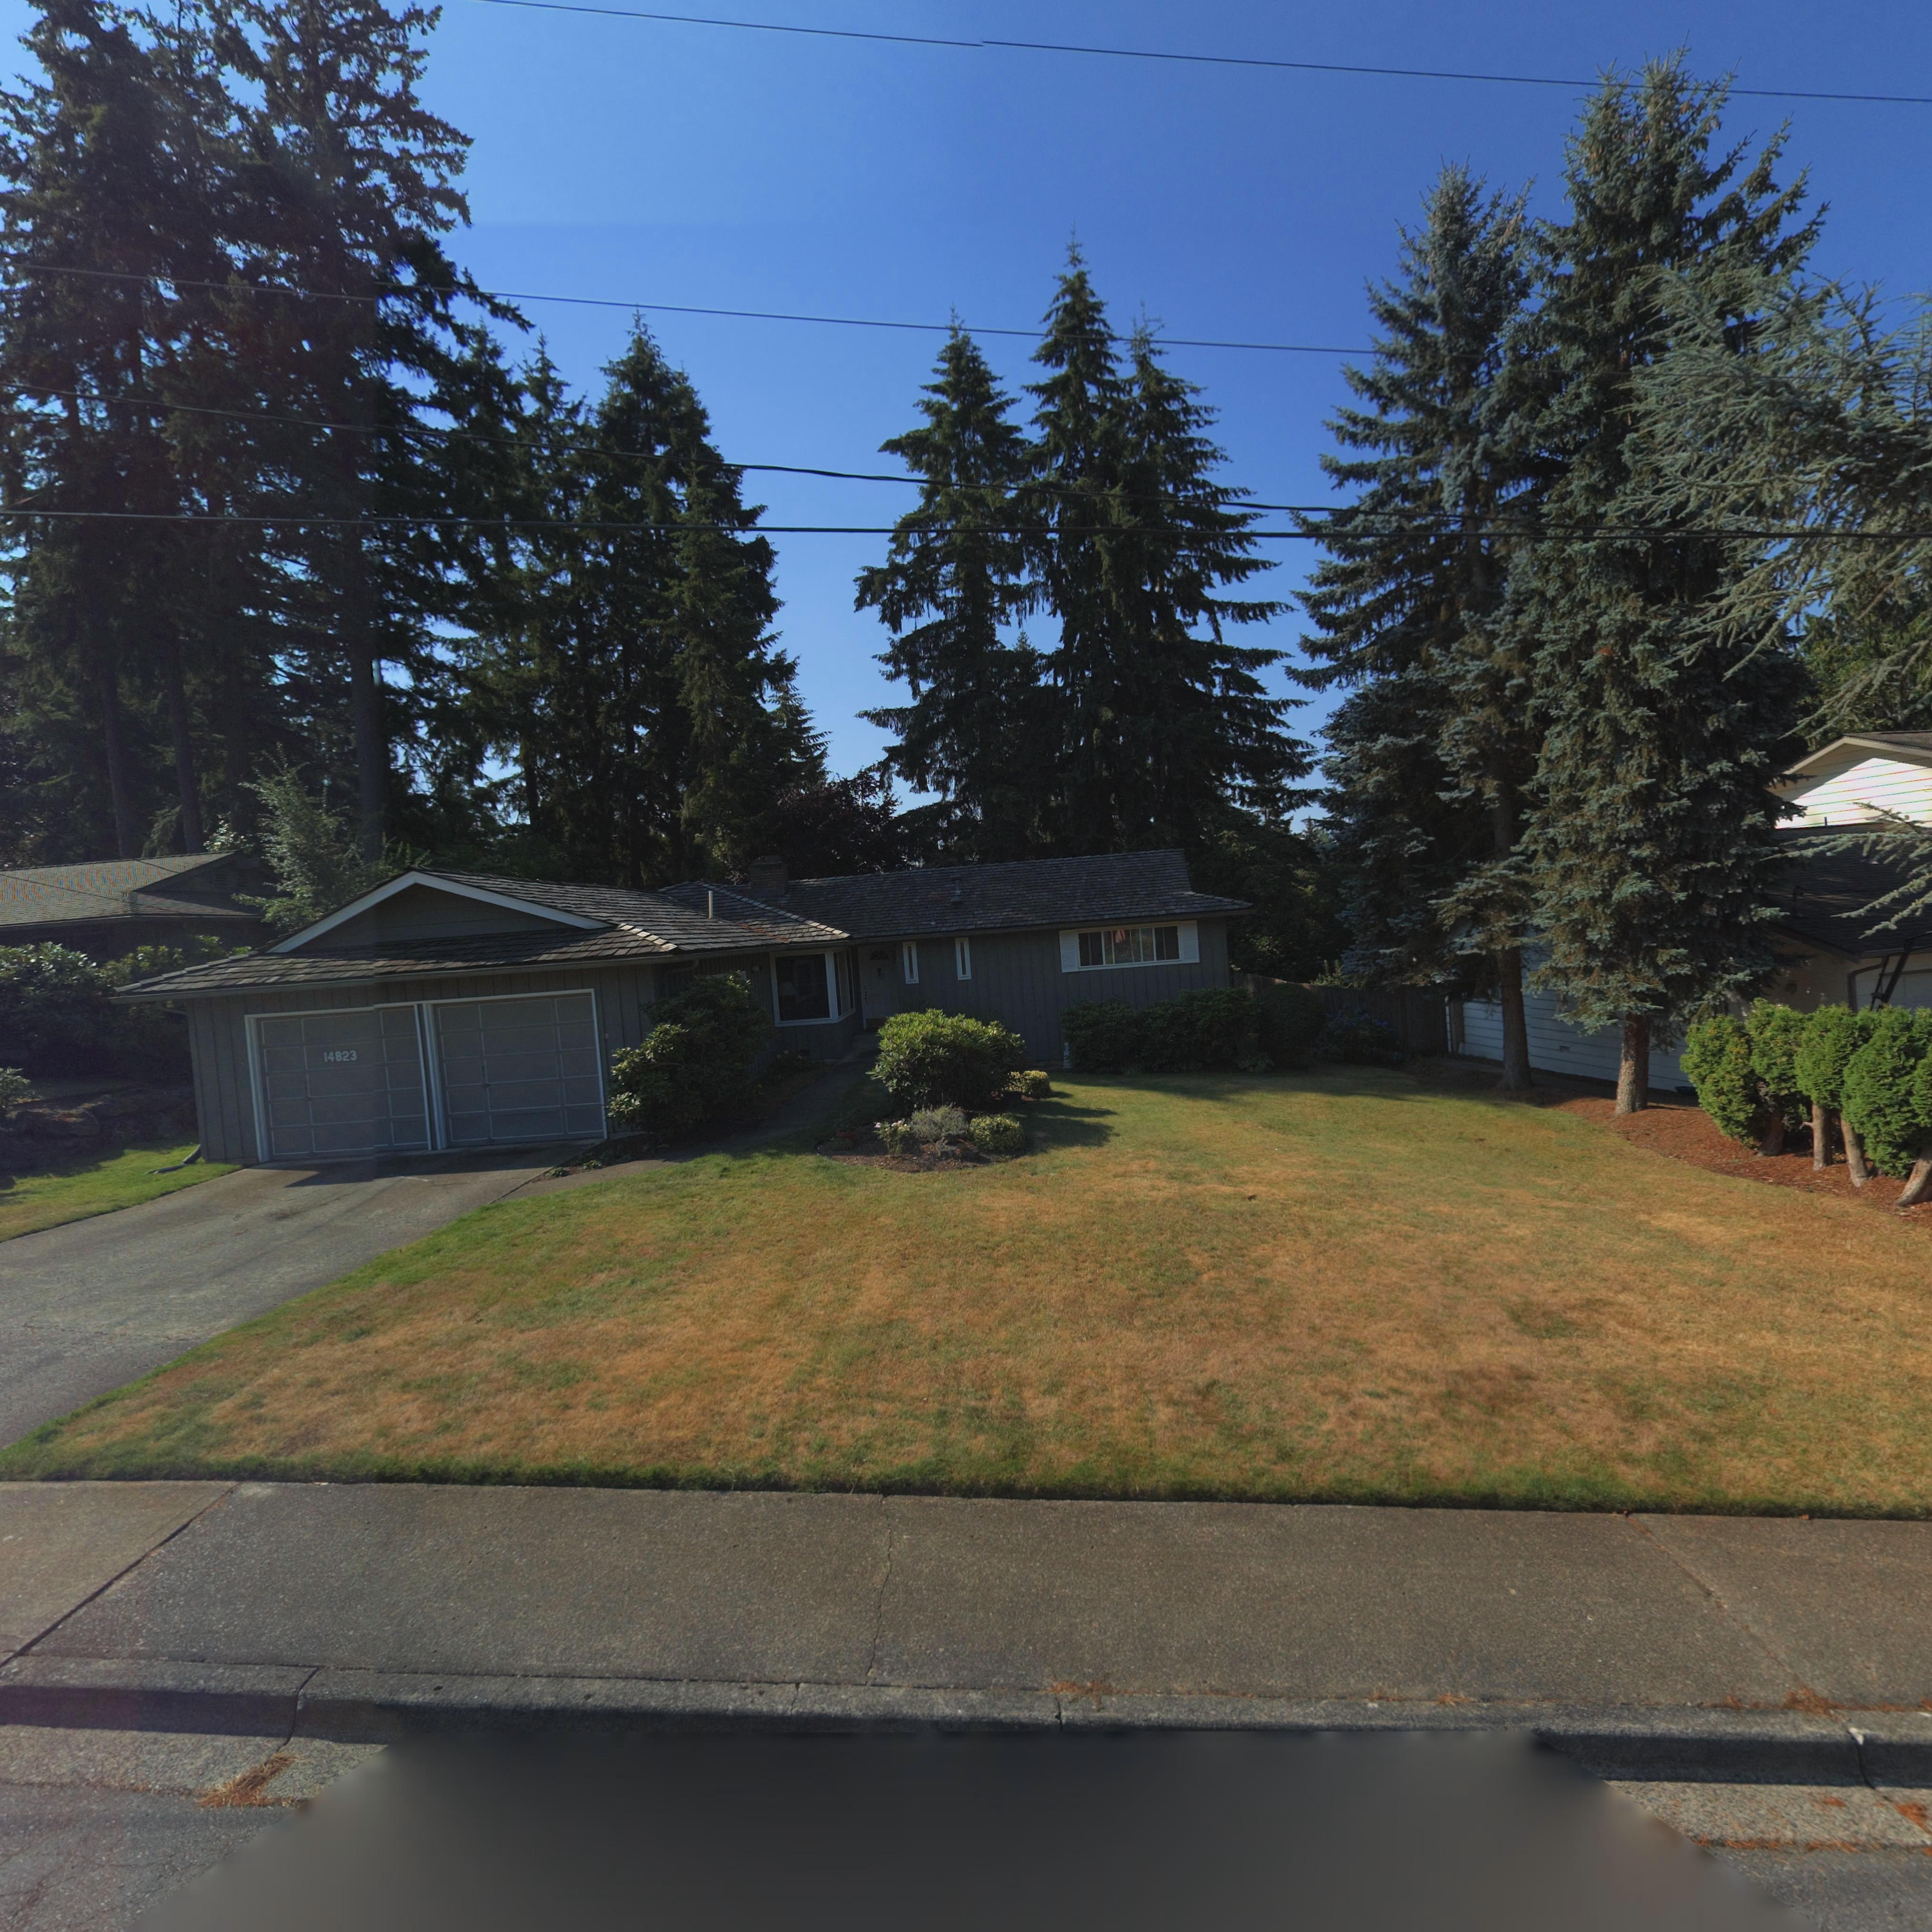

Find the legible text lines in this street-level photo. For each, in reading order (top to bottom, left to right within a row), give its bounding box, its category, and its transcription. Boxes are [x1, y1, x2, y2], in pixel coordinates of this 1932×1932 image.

[323, 1050, 357, 1062] StreetNumber: 14823